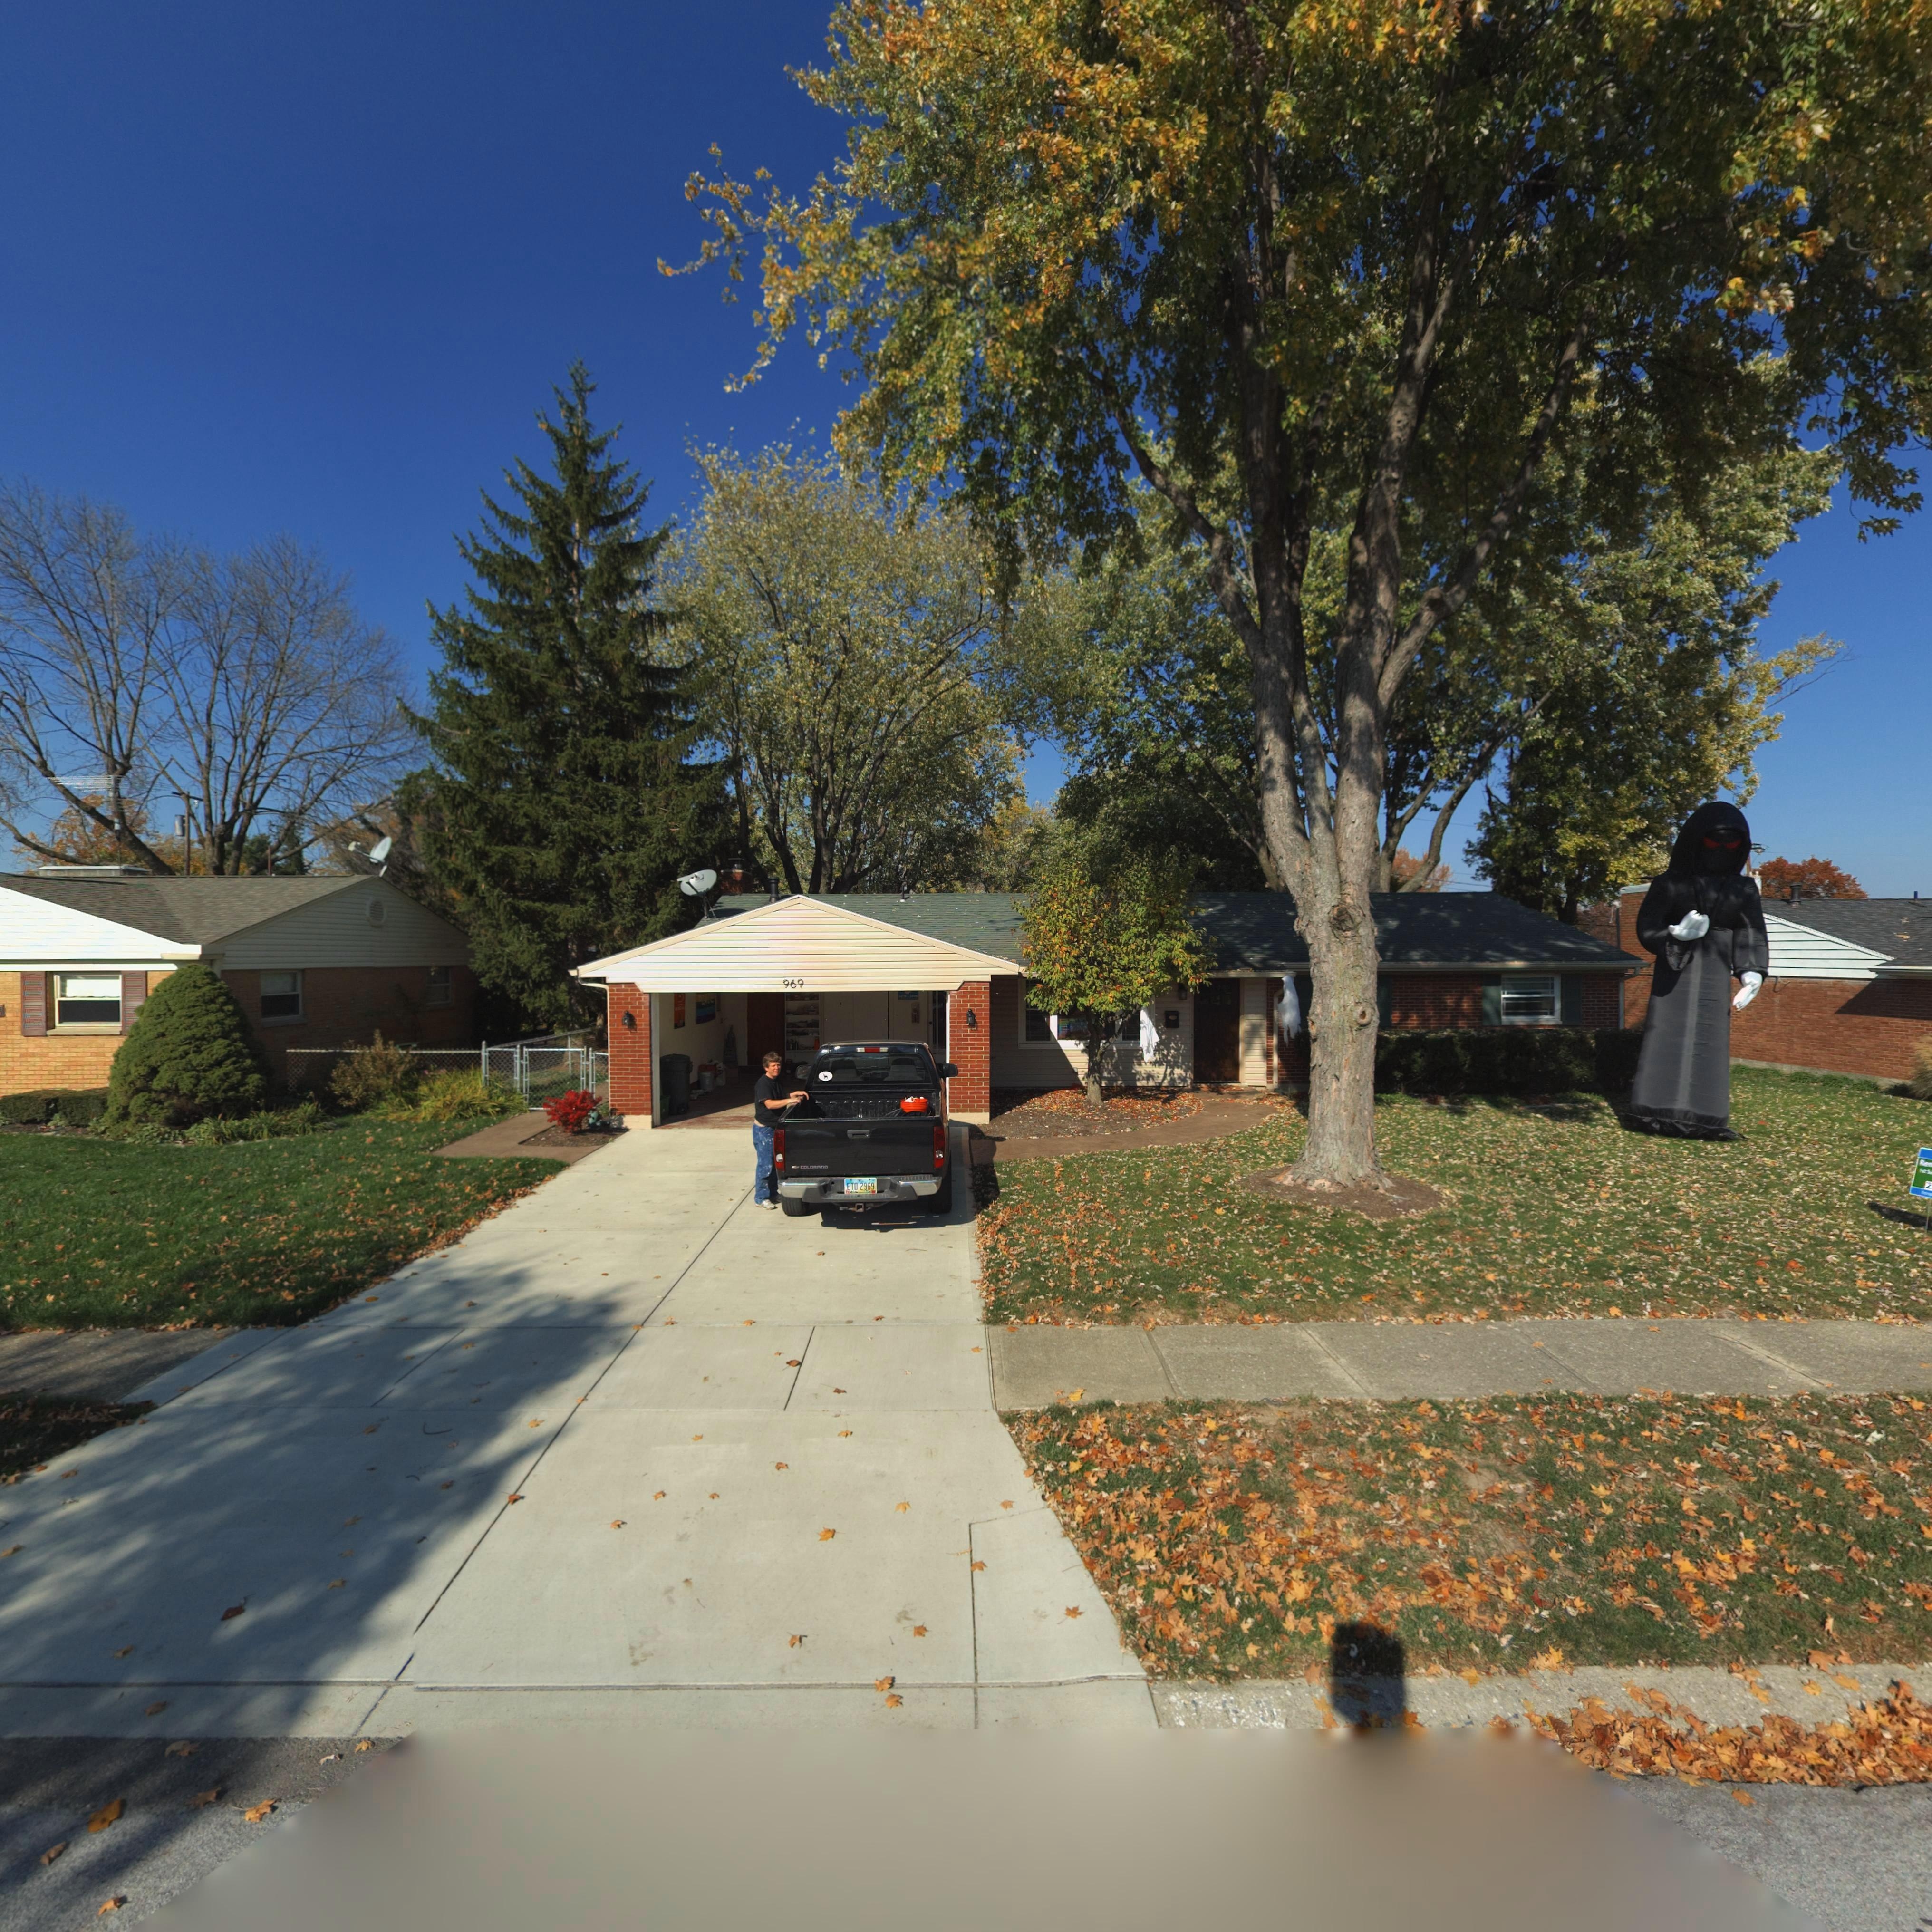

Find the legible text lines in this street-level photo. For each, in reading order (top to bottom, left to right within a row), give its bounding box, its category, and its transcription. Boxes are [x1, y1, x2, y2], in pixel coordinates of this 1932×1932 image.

[781, 977, 806, 990] StreetNumber: 969
[799, 1164, 829, 1170] None: COLORADO
[846, 1181, 875, 1192] None: ETD 2969